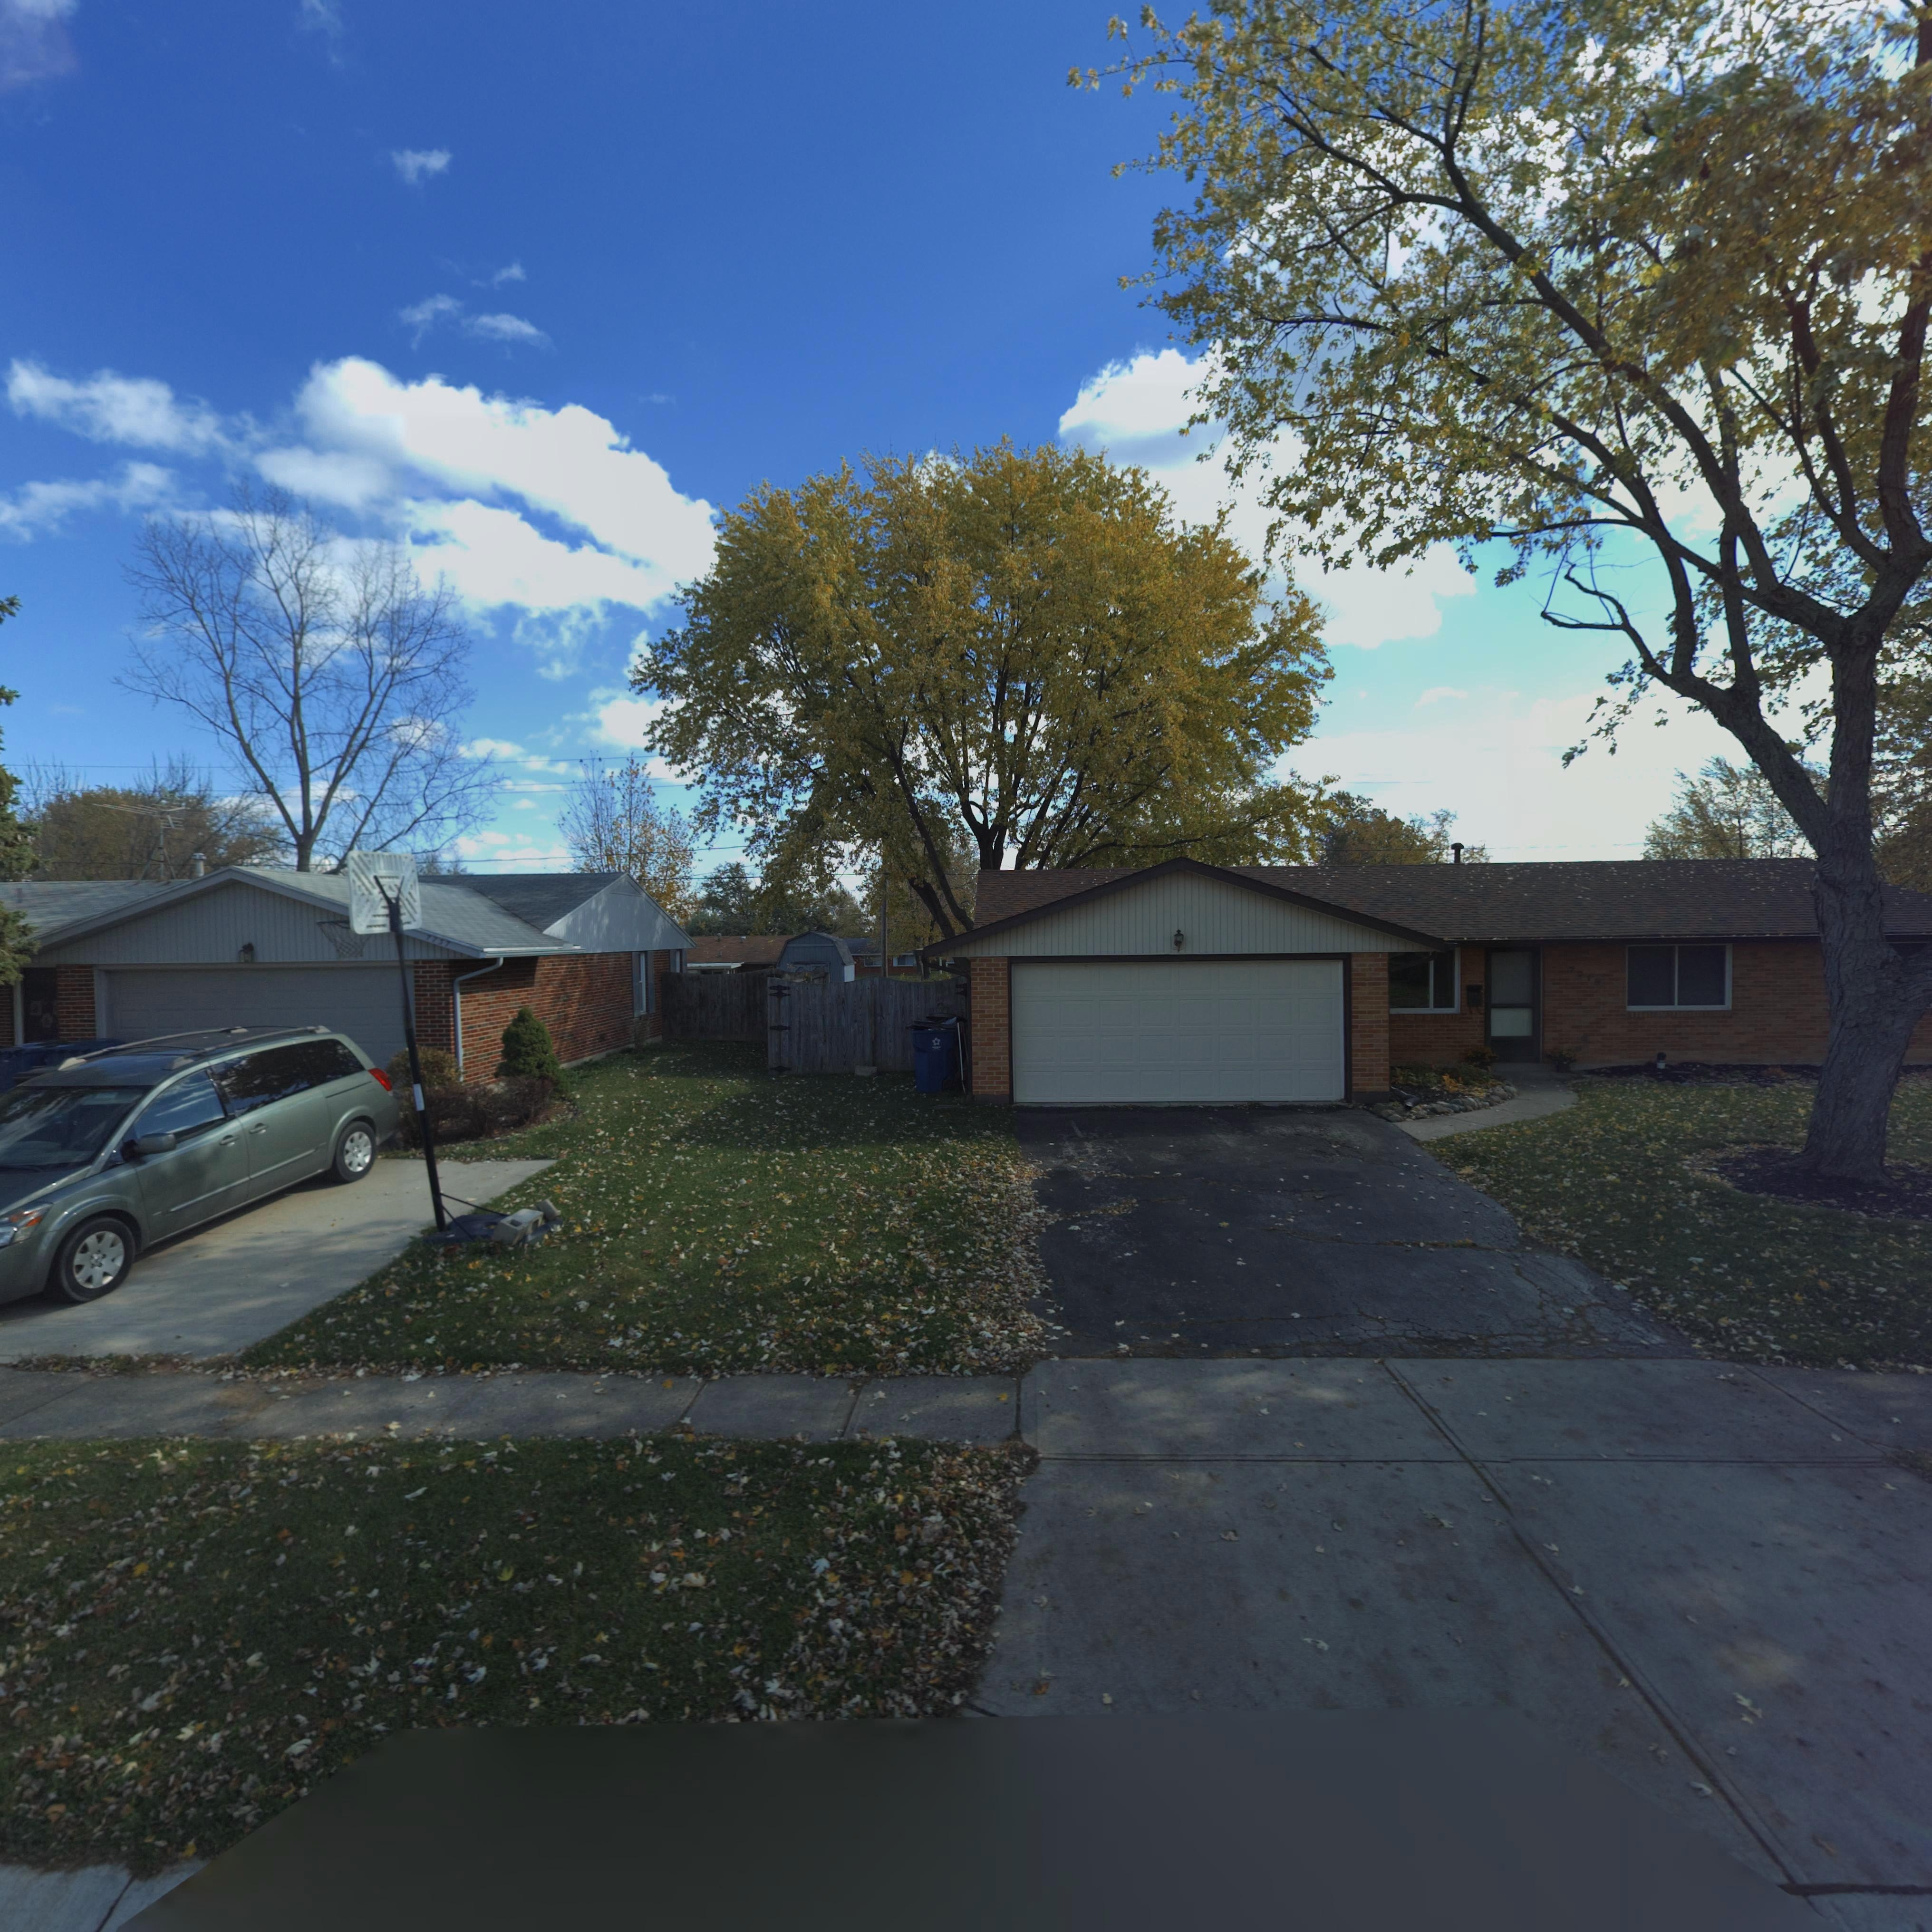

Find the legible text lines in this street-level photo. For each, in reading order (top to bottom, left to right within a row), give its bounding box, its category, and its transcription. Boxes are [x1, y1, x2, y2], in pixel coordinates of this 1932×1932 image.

[1567, 966, 1601, 986] StreetNumber: 7719